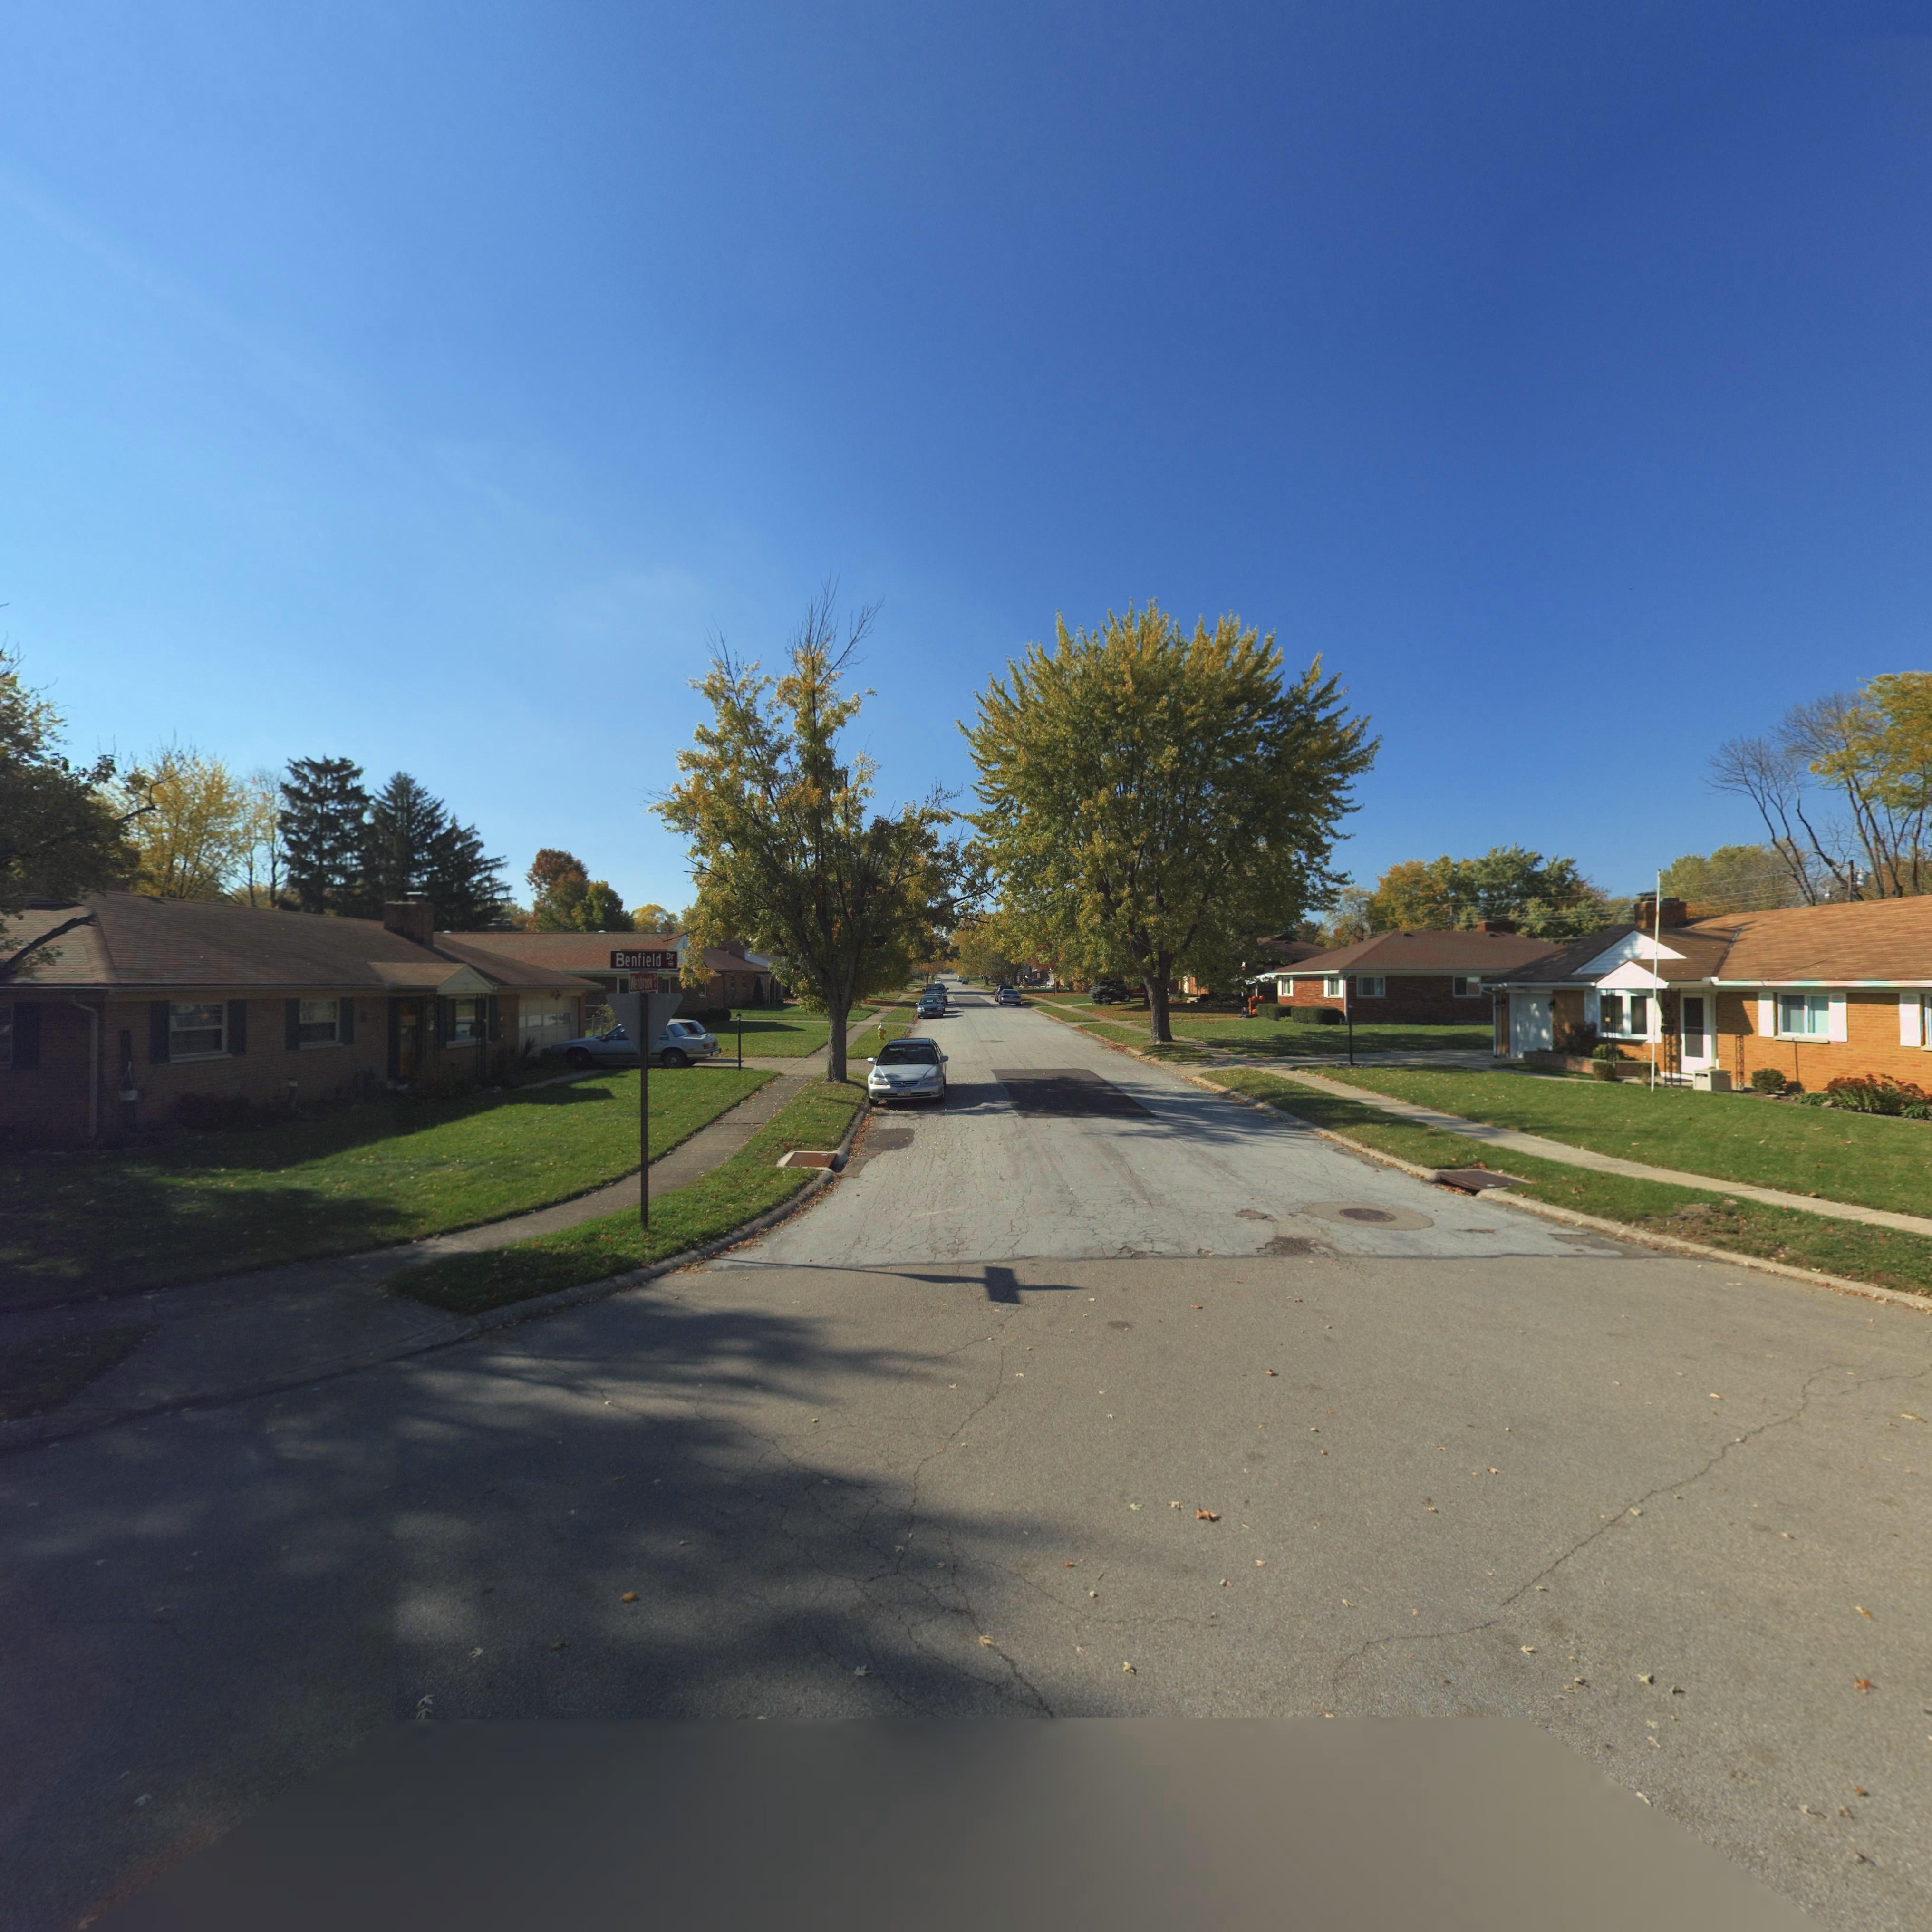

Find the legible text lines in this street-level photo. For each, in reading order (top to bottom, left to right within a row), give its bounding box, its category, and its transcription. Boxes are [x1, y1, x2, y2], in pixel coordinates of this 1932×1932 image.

[615, 951, 676, 968] StreetName: Benfield Dr